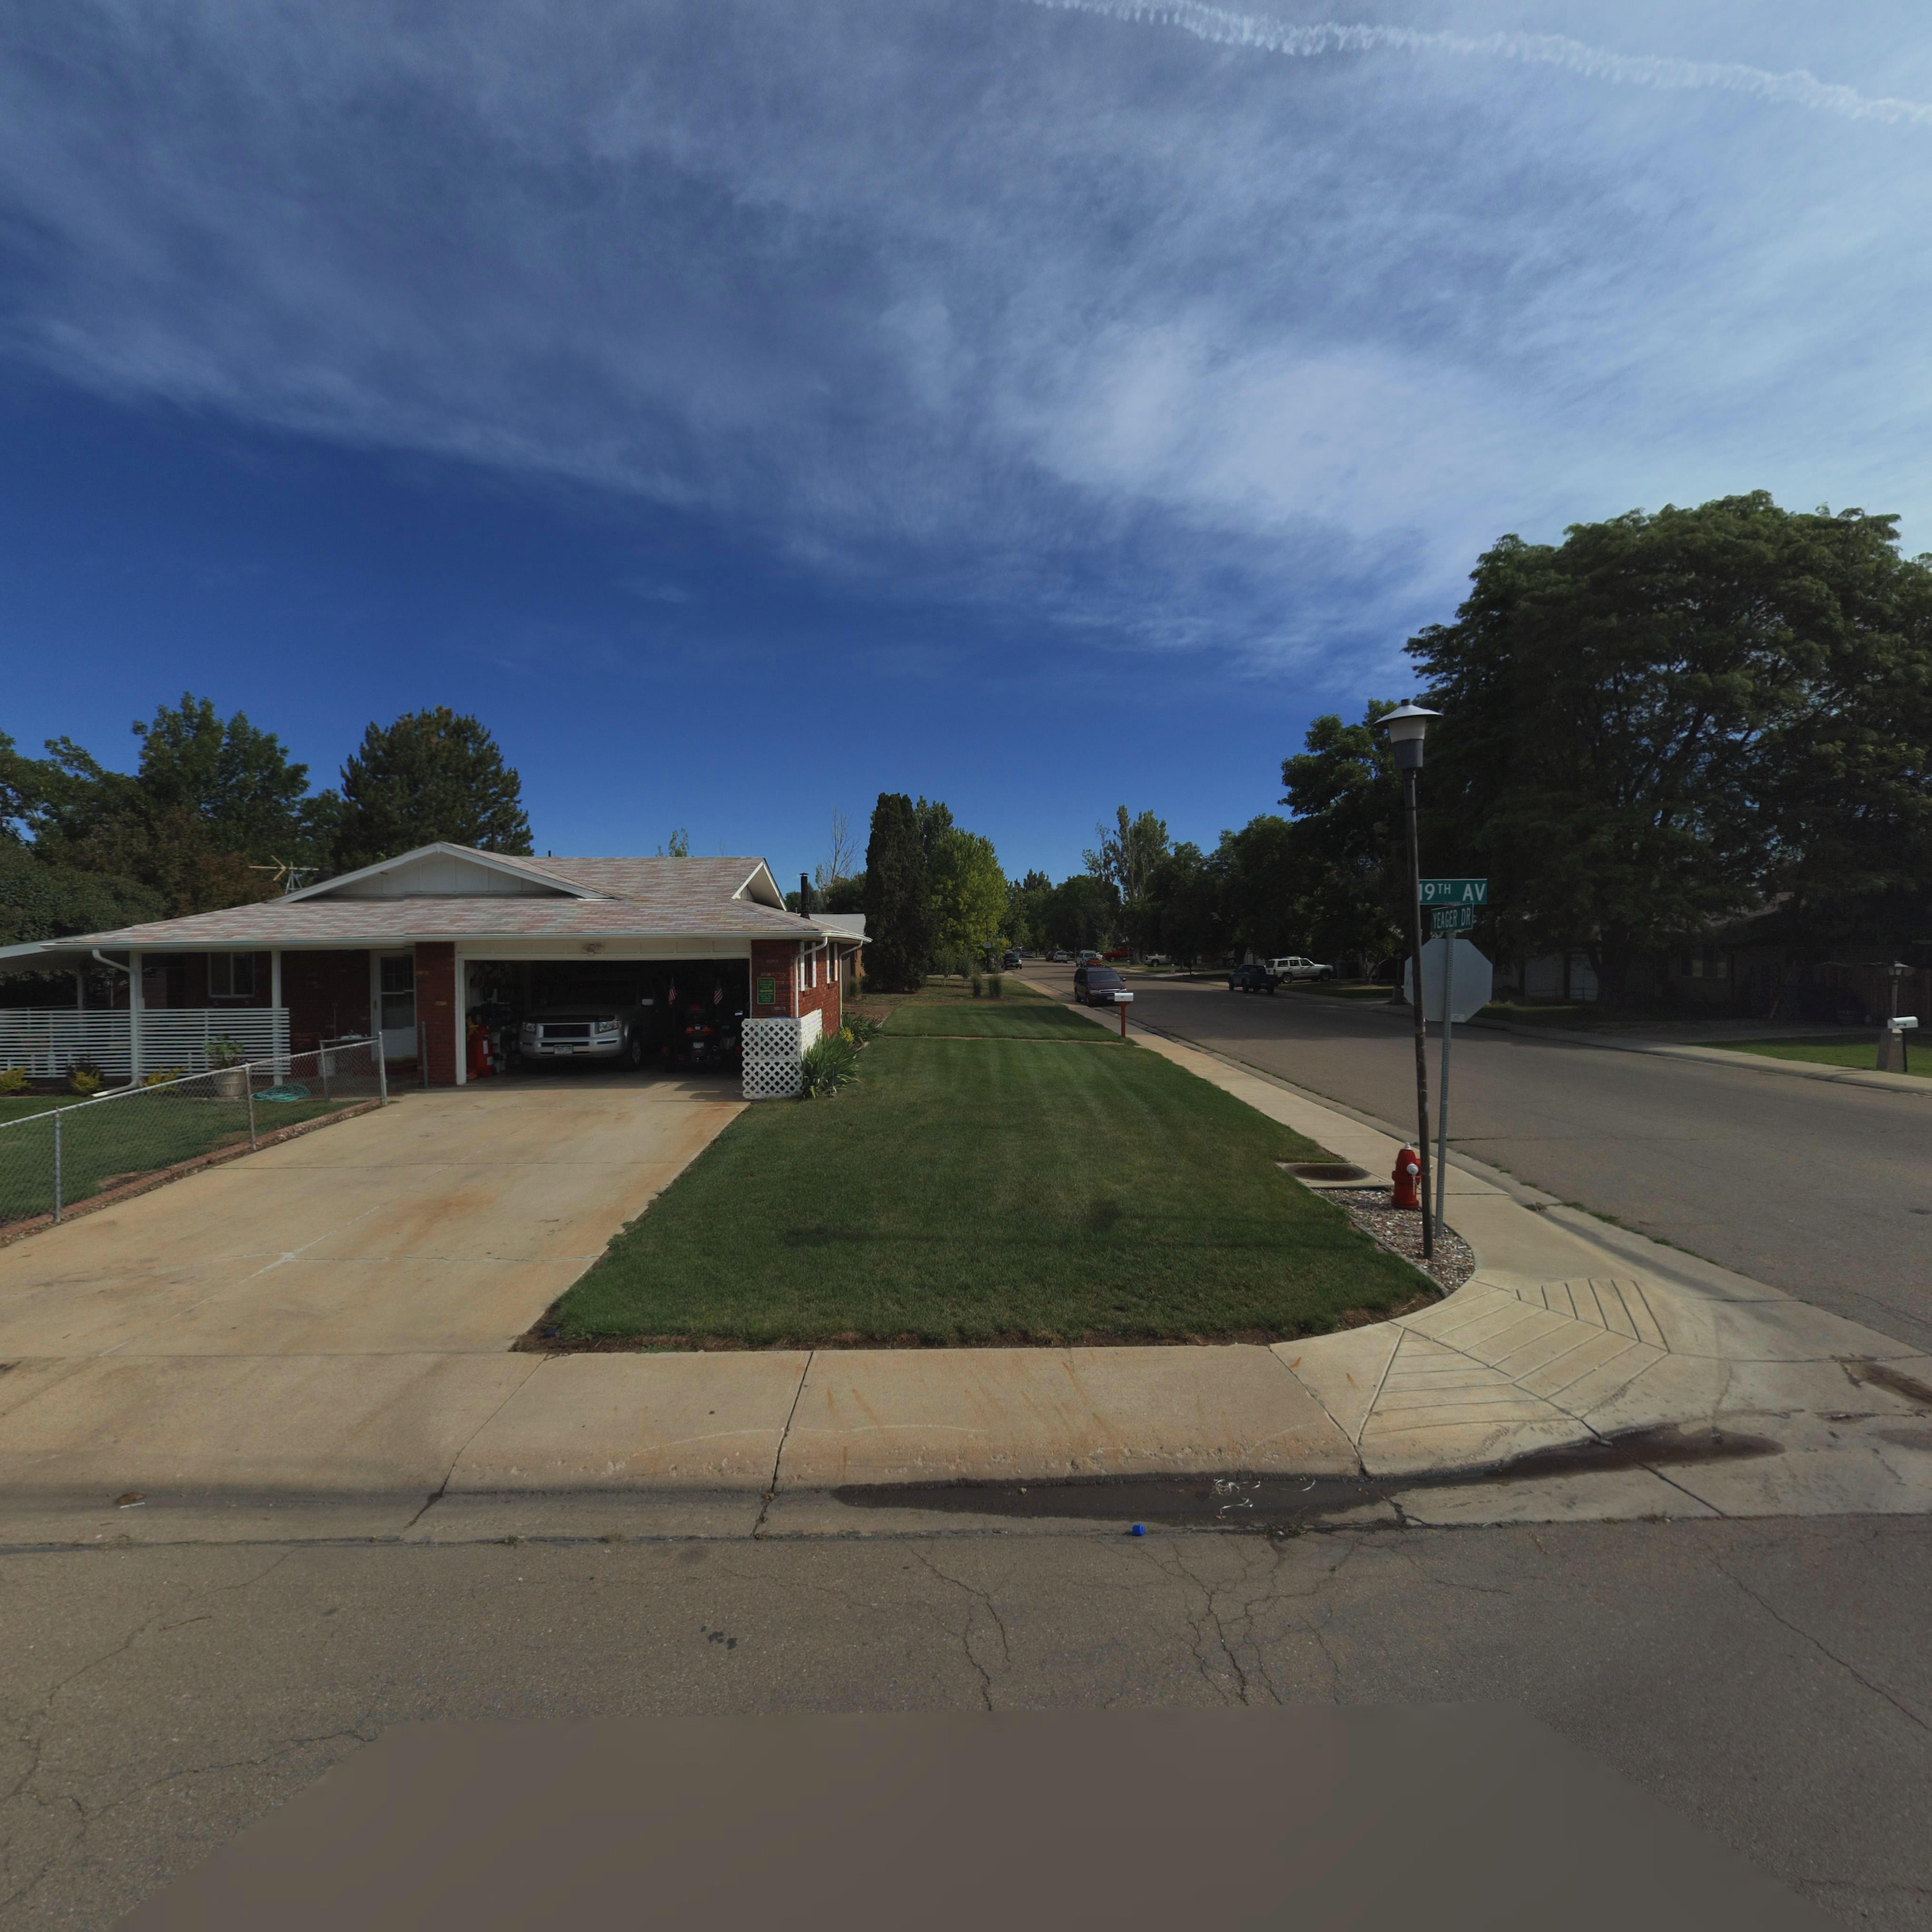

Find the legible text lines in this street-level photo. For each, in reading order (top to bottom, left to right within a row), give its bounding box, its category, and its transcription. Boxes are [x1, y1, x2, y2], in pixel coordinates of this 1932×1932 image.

[1418, 882, 1486, 901] StreetName: 19TH AV
[1432, 906, 1471, 929] StreetName: YEAGER DR